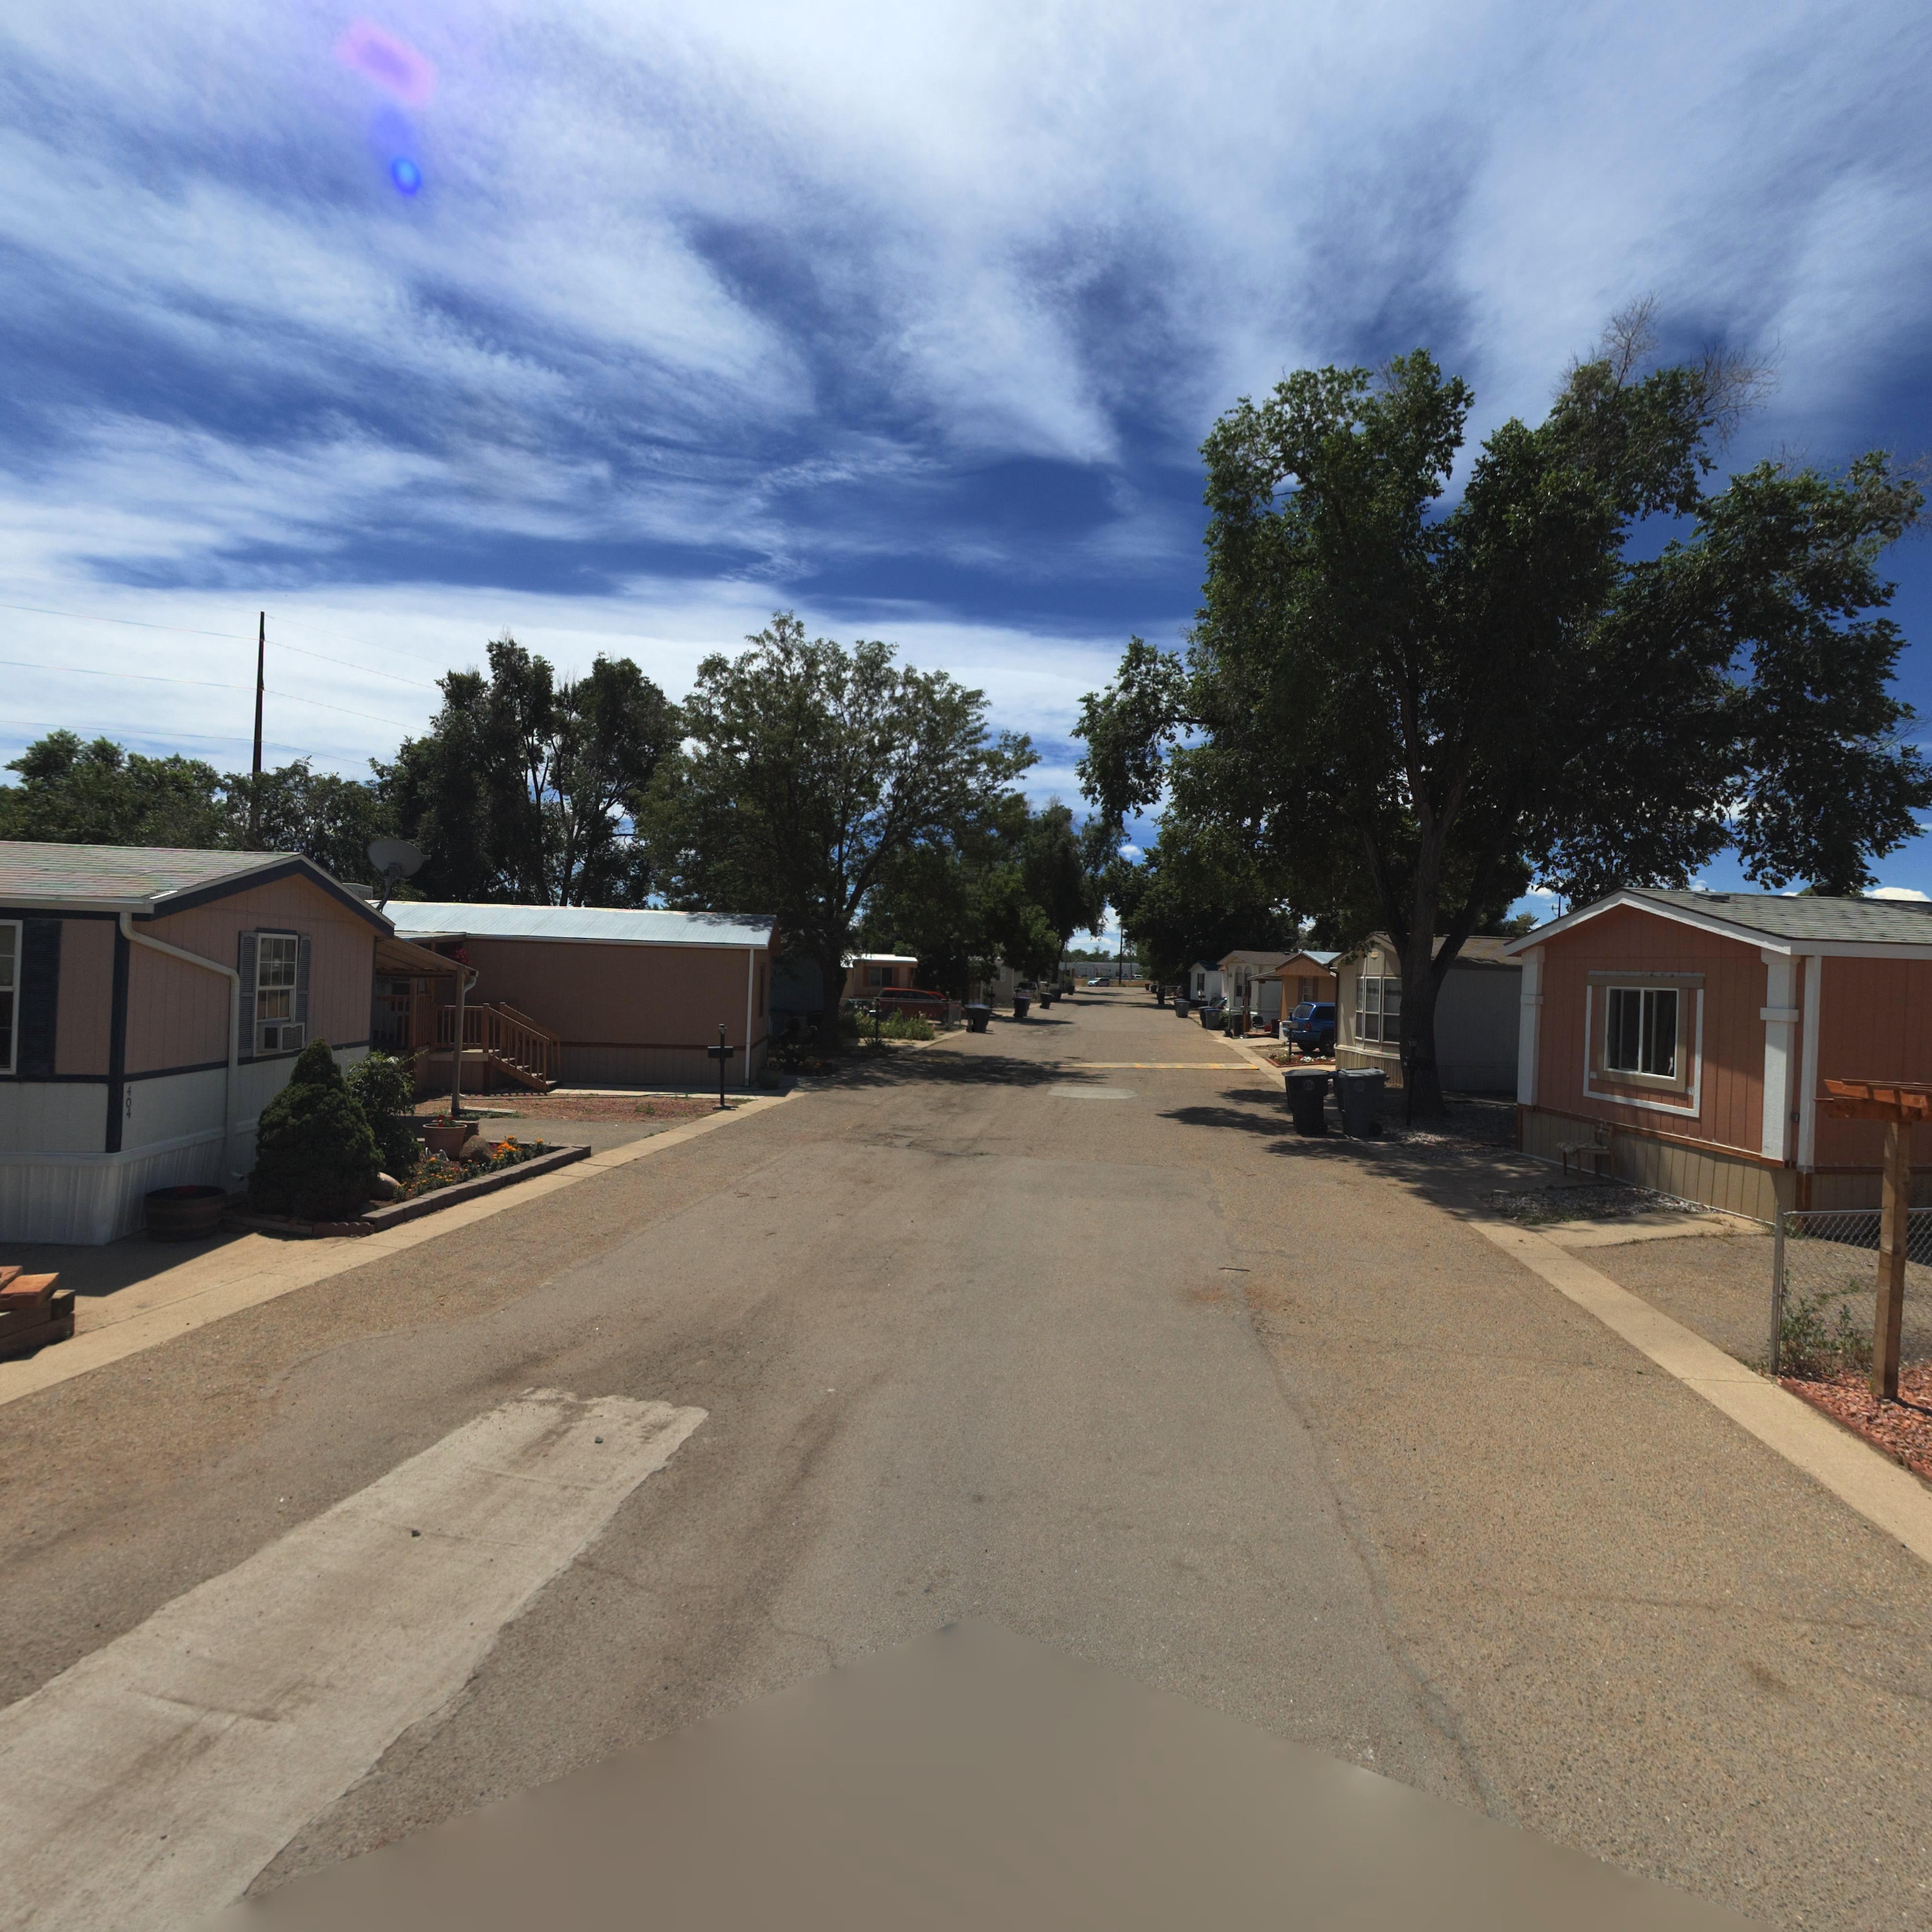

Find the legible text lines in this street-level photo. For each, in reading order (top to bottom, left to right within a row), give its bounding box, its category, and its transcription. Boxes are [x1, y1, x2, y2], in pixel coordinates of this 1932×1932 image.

[126, 1084, 131, 1120] StreetNumber: 404